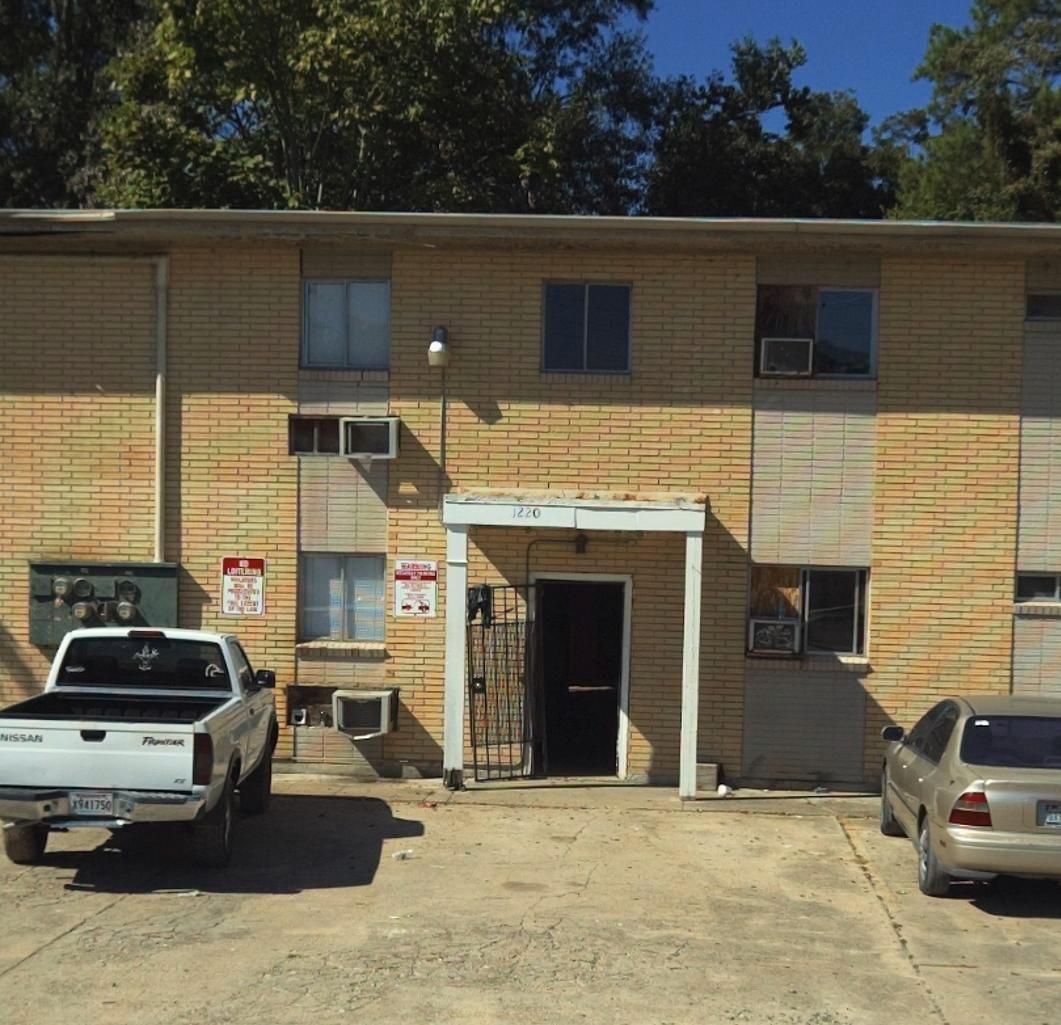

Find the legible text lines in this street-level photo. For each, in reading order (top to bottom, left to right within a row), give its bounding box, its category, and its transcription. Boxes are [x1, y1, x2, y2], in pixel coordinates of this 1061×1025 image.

[511, 505, 542, 519] StreetNumber: 1220
[227, 567, 242, 575] None: LOIT
[0, 732, 43, 743] None: NISSAN
[140, 736, 186, 748] None: FRONTIER
[70, 798, 112, 811] None: X941750